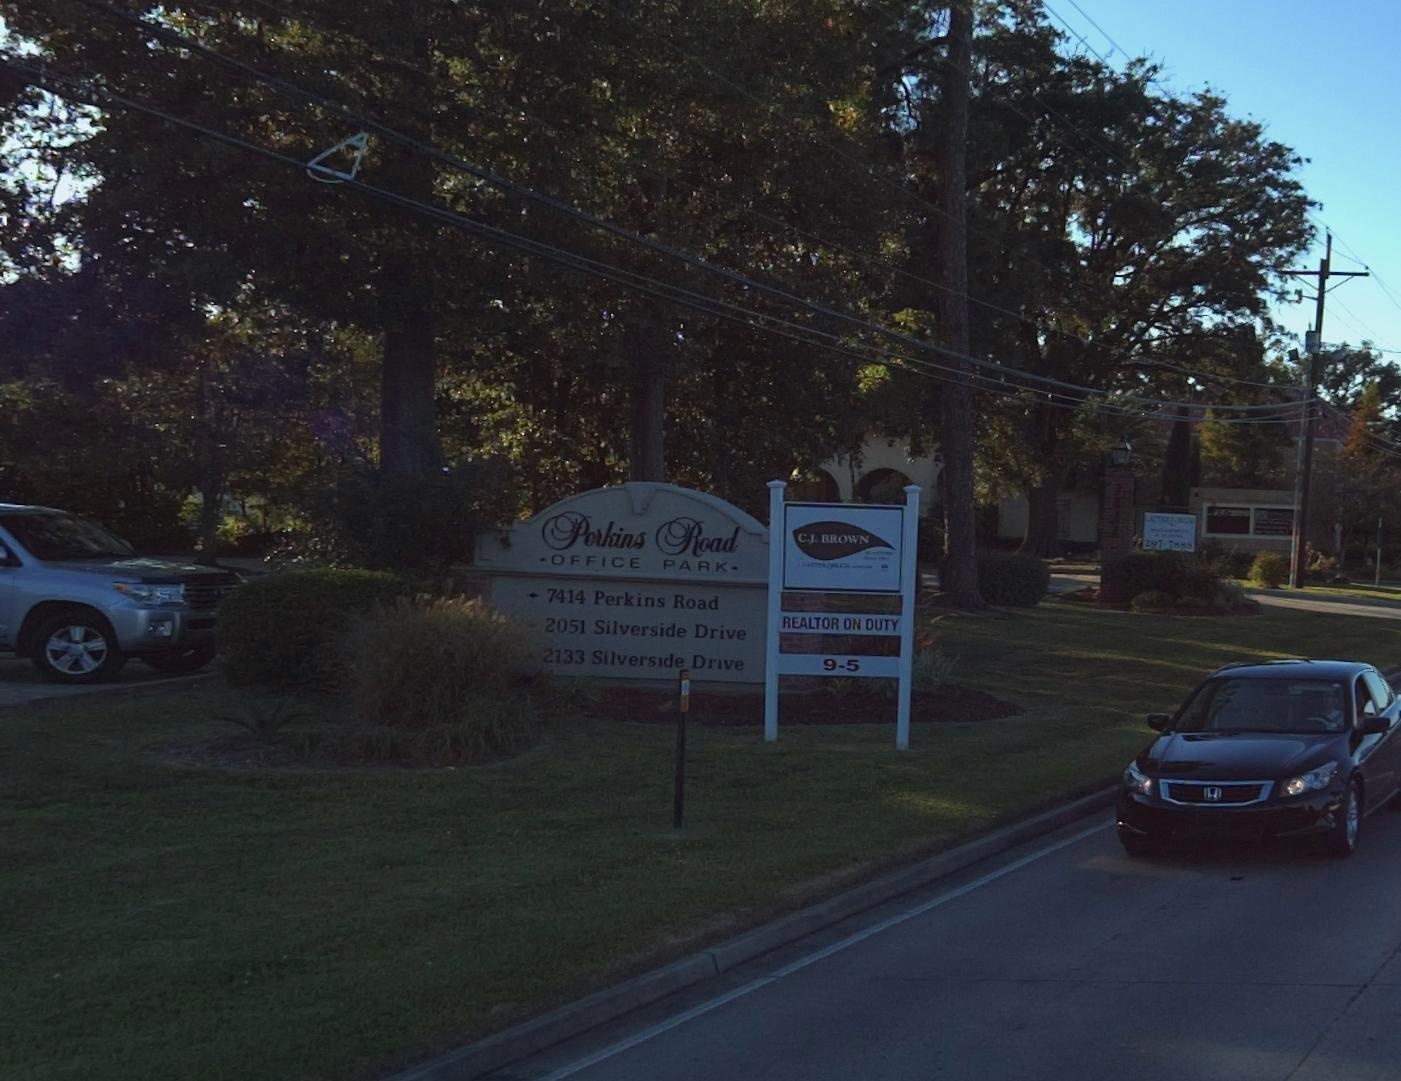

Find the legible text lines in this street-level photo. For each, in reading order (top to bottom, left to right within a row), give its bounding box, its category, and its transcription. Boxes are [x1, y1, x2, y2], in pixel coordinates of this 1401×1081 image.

[540, 509, 744, 558] BusinessName: Perkins Road
[797, 531, 870, 546] BusinessName: C.J. BROWN
[1144, 537, 1193, 551] None: 297-7*88
[551, 553, 729, 574] BusinessName: OFFICE PARK
[546, 587, 587, 605] StreetNumber: 7414
[592, 588, 721, 611] StreetName: Perkins Road
[544, 615, 585, 635] StreetNumber: 2051
[593, 618, 747, 641] StreetName: Silverside Drive
[782, 615, 900, 632] None: REALTOR ON DUTY
[542, 647, 586, 665] StreetNumber: 2133
[591, 649, 745, 673] StreetName: Silverside Drive
[823, 658, 861, 673] None: 9-5